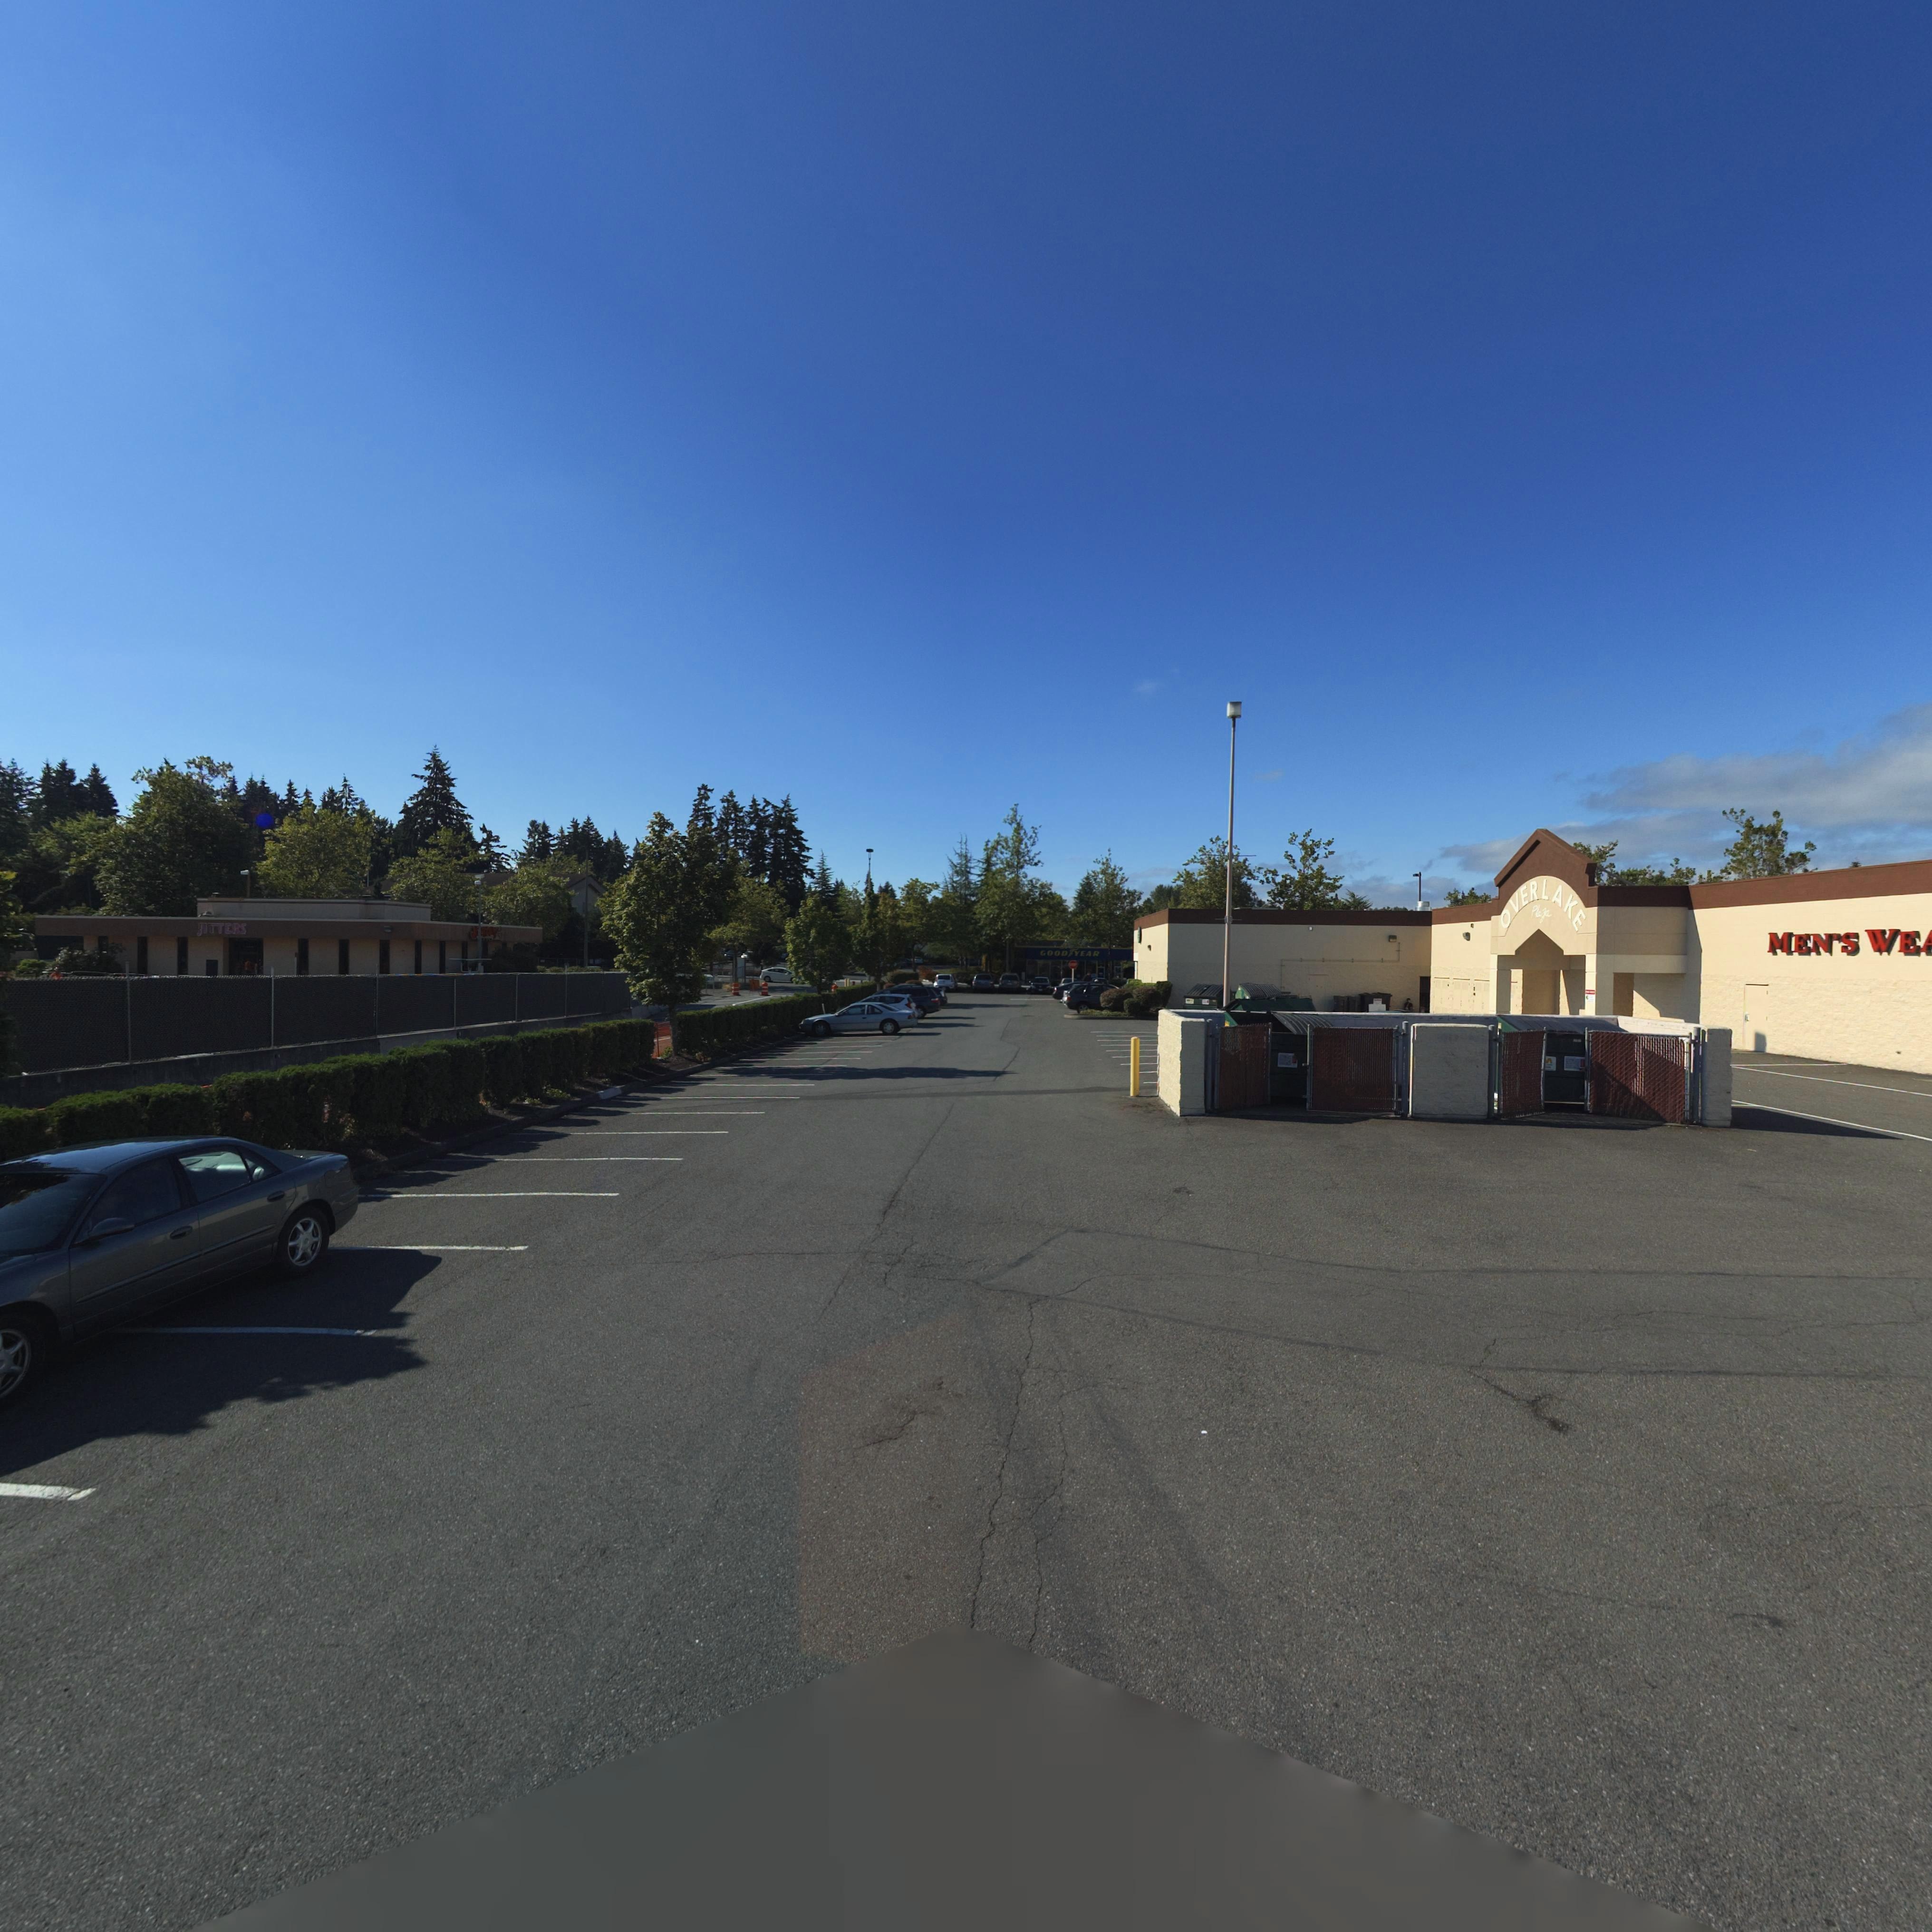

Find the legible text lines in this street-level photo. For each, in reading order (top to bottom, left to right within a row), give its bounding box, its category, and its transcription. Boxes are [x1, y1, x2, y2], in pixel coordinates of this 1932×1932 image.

[196, 920, 250, 936] BusinessName: JITTER'S
[1765, 927, 1922, 955] BusinessName: MEN'S WE
[1040, 949, 1100, 956] BusinessName: GOOD*YEAR